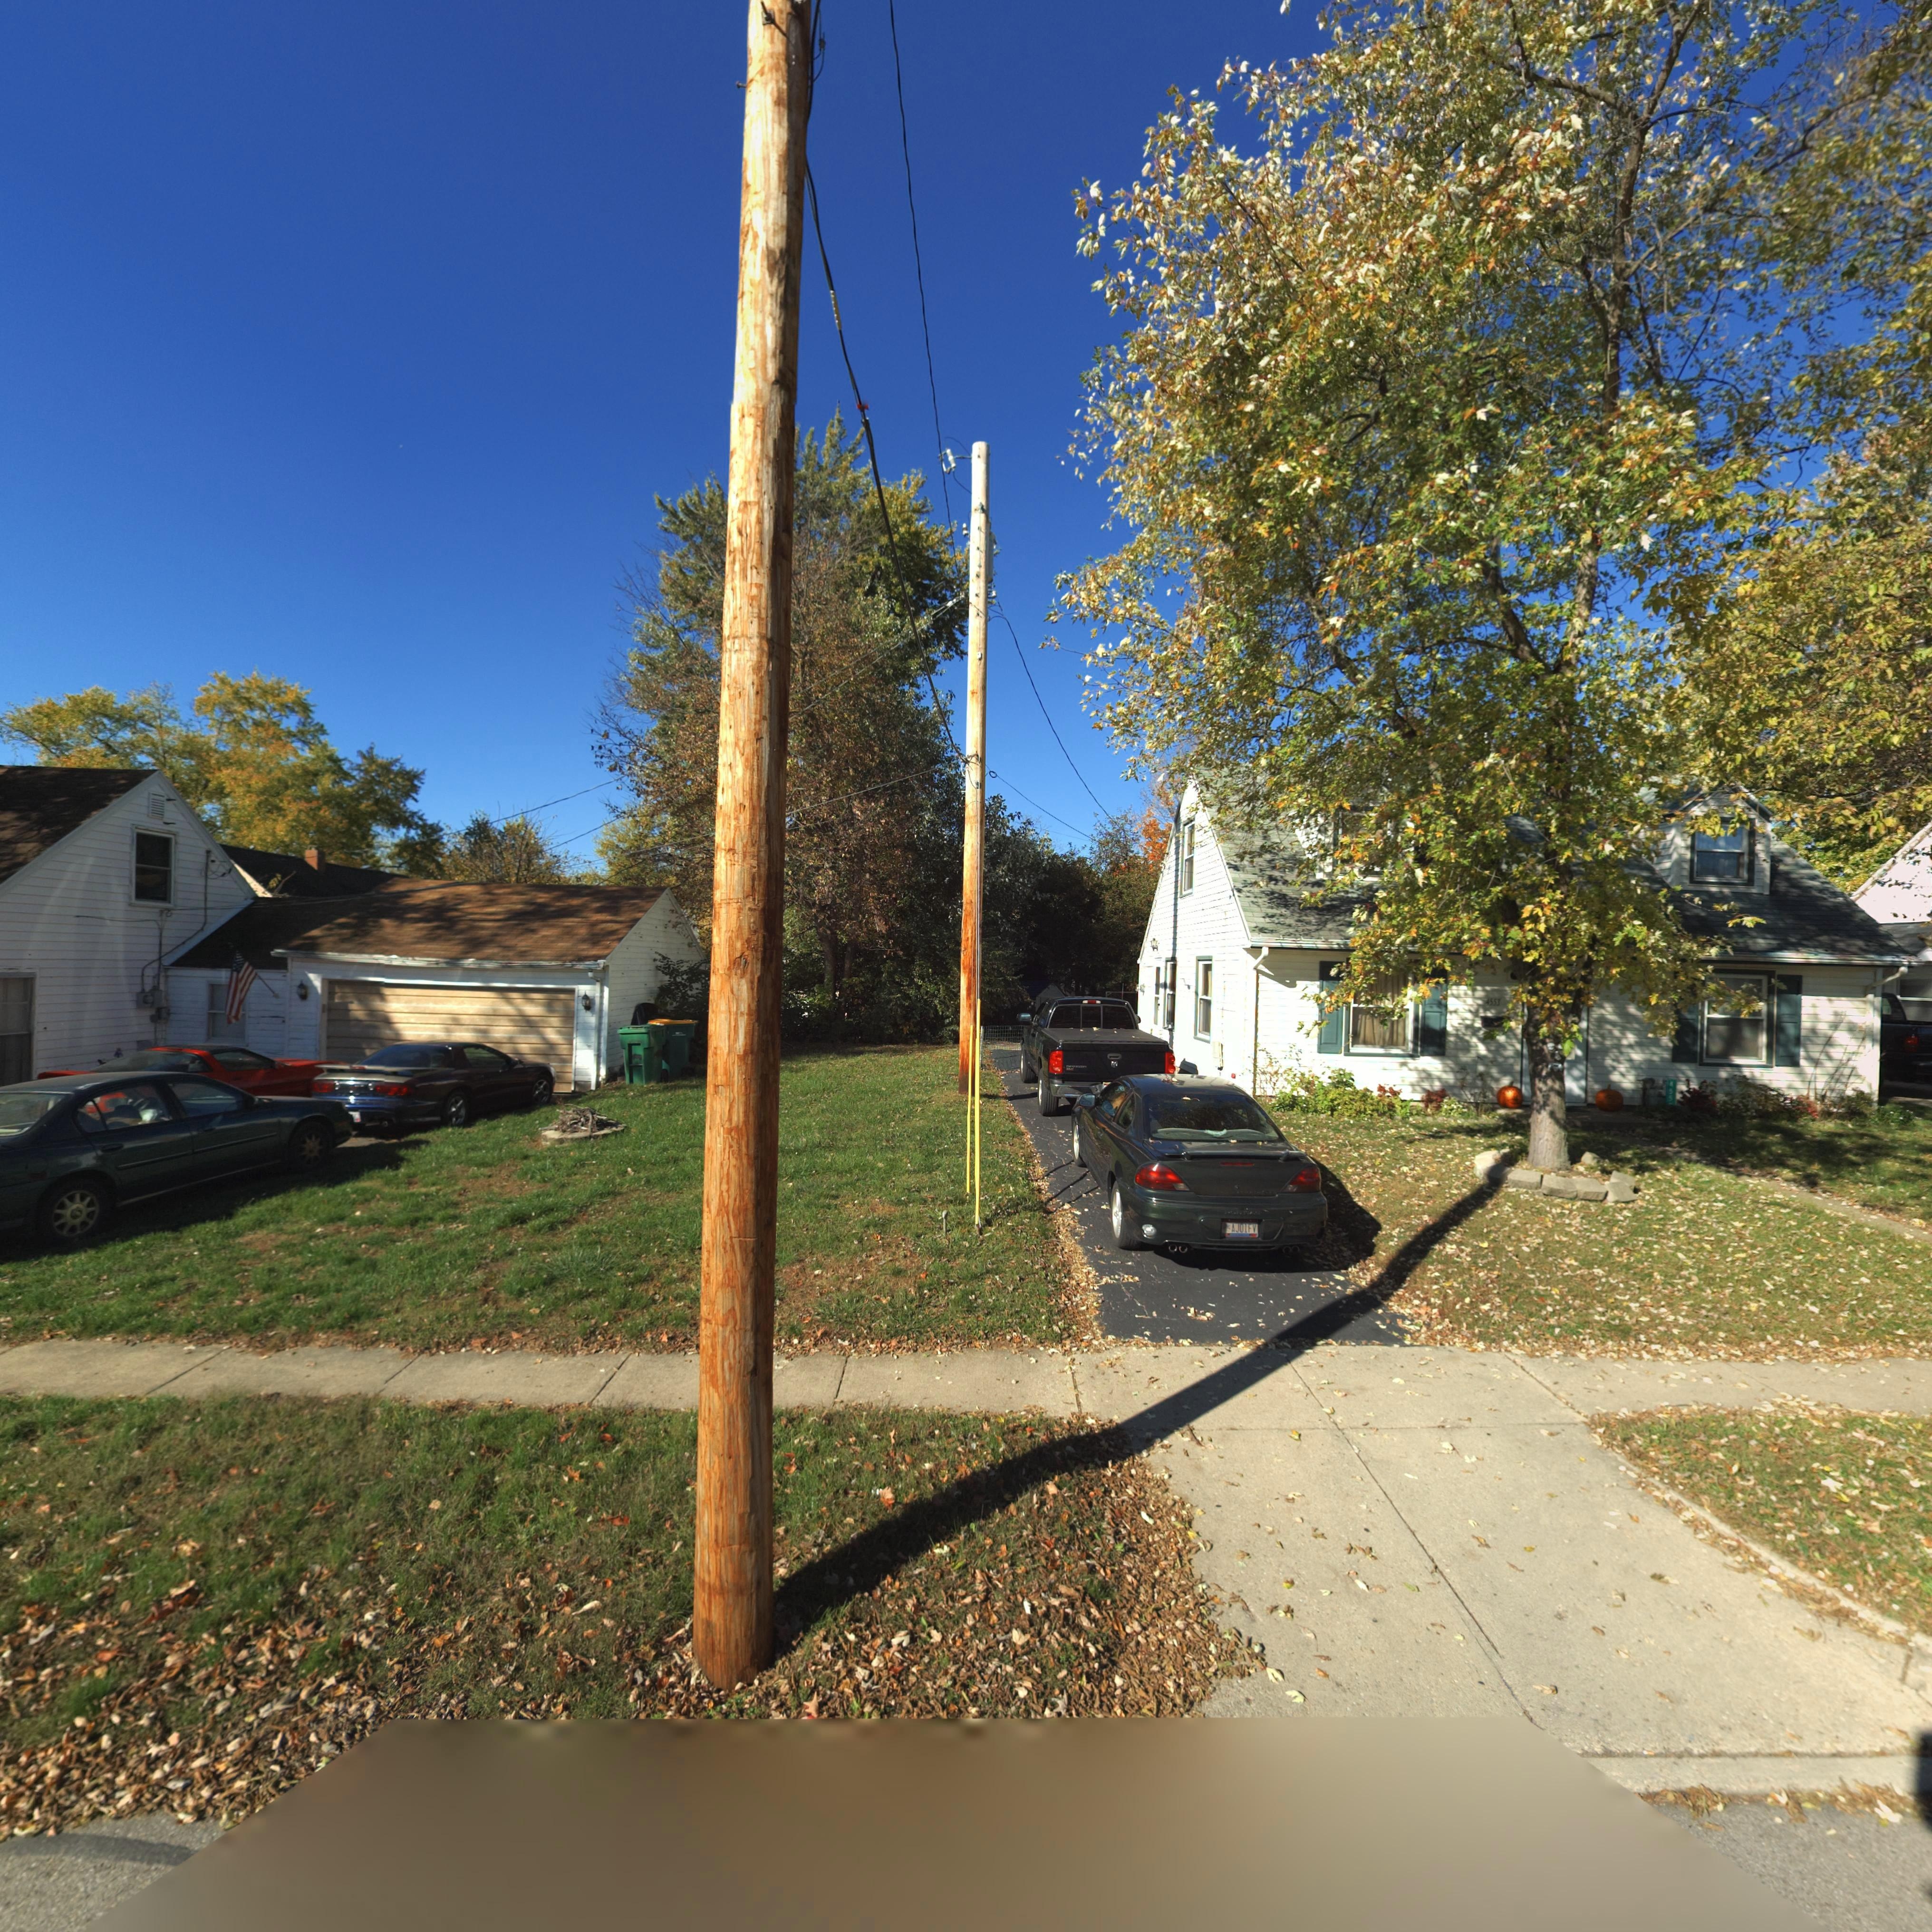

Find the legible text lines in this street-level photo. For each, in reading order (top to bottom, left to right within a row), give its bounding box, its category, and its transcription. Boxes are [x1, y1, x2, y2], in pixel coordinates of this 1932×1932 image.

[1668, 1081, 1674, 1101] StreetNumber: 455